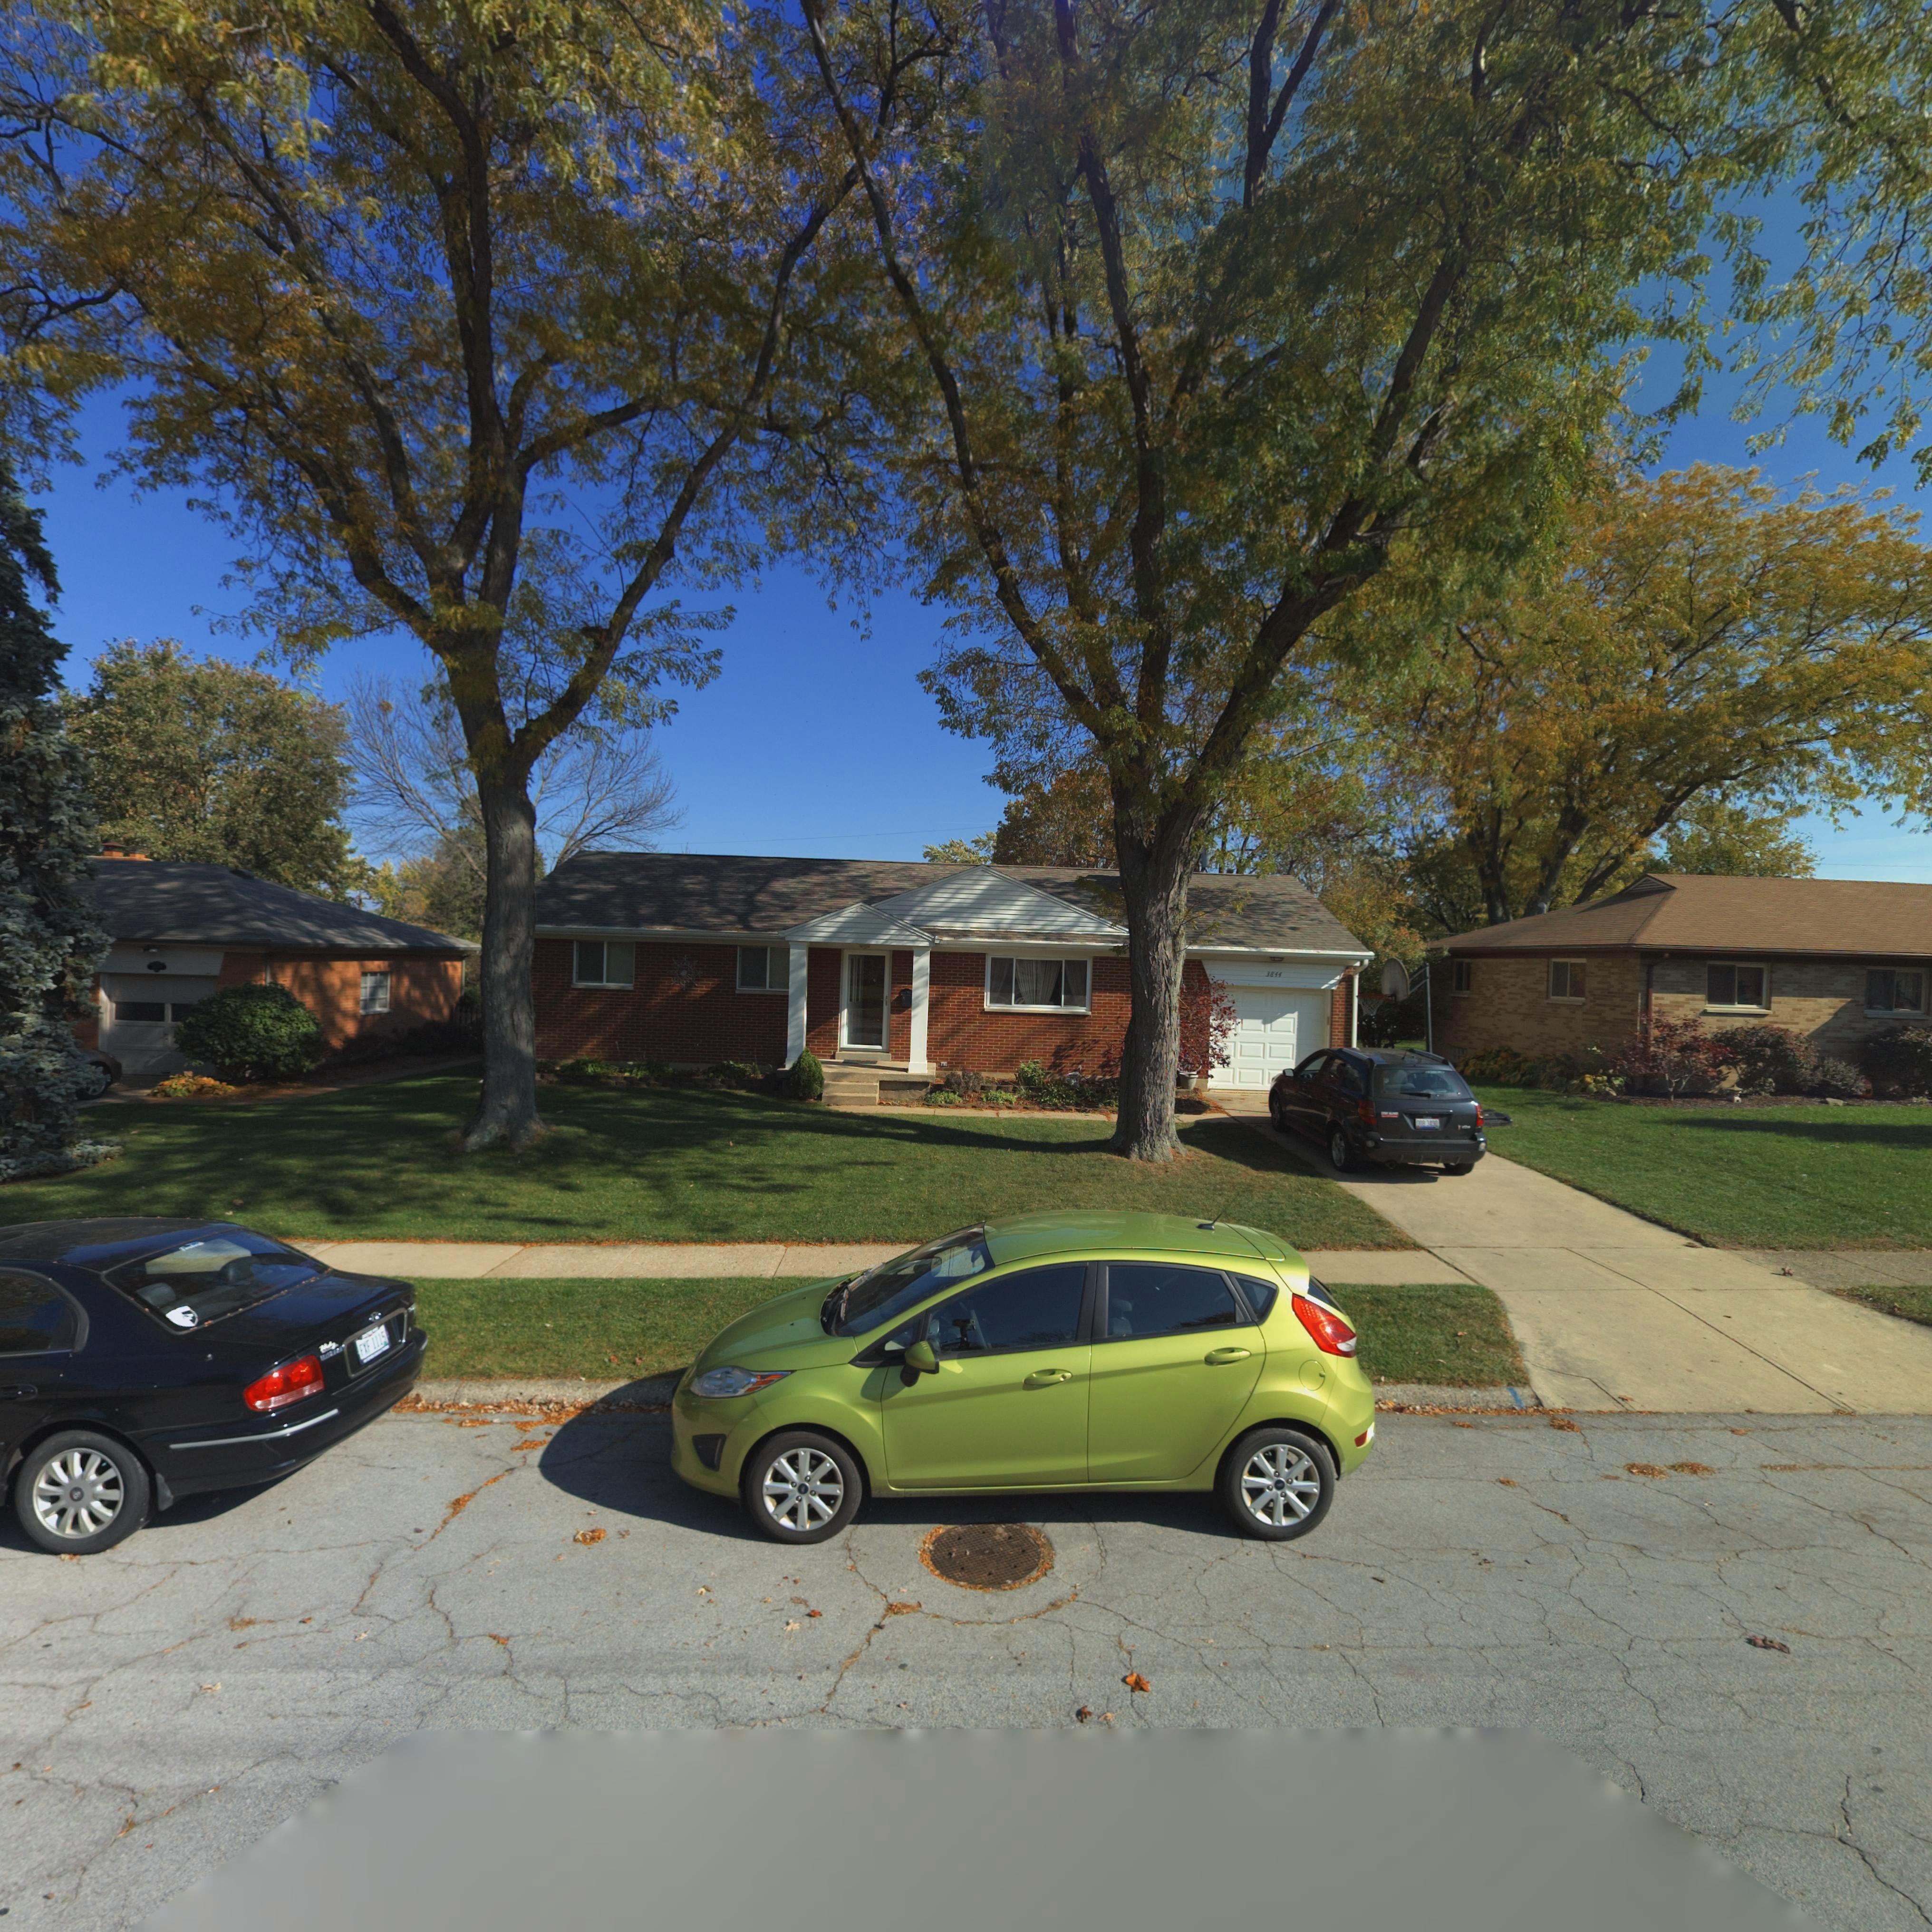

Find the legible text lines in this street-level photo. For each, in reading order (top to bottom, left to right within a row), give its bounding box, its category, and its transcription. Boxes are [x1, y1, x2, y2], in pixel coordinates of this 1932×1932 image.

[1265, 971, 1283, 977] StreetNumber: 3844
[358, 1329, 388, 1358] None: FXF 1115